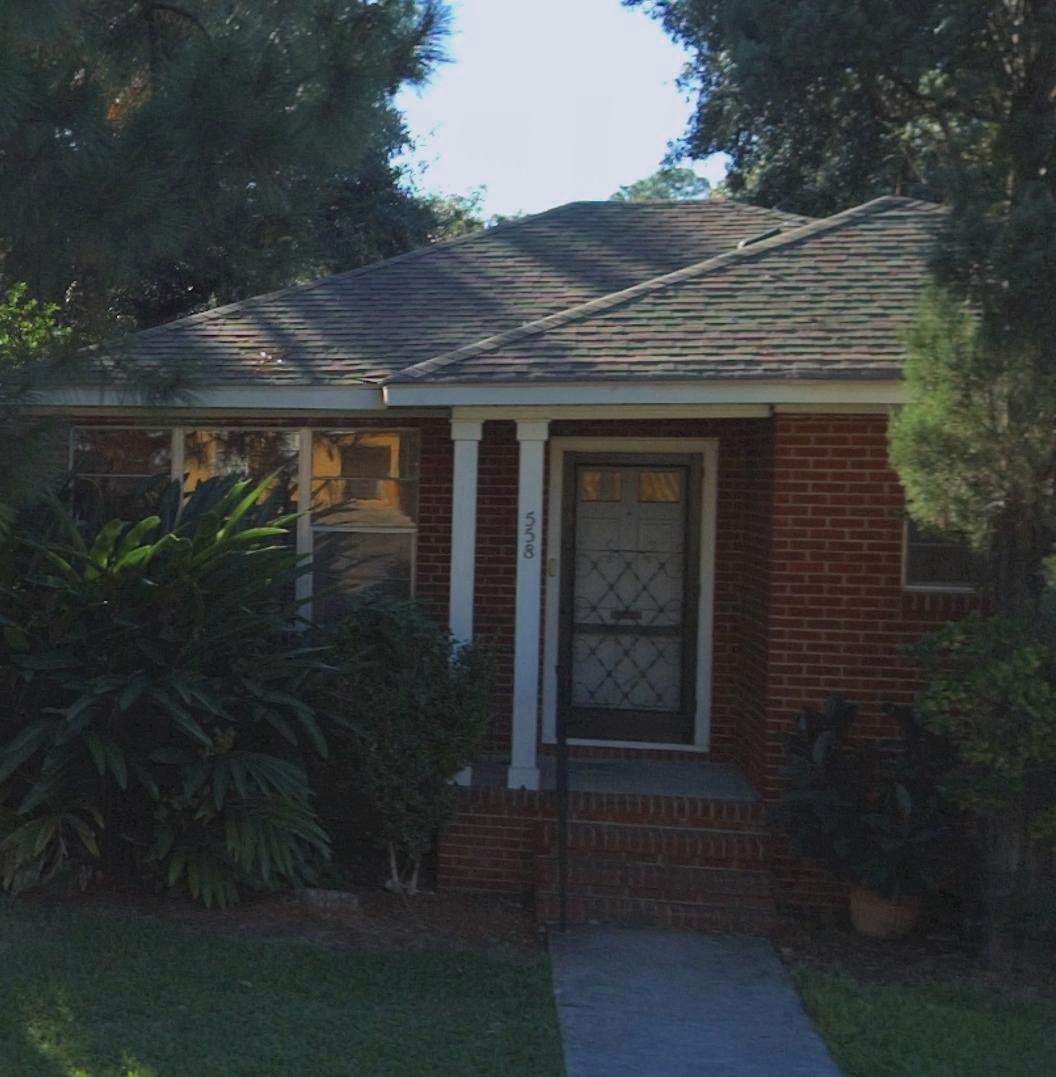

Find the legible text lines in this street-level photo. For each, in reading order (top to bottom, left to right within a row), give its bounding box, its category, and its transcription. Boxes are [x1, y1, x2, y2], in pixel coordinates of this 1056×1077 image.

[521, 508, 538, 562] StreetNumber: 558